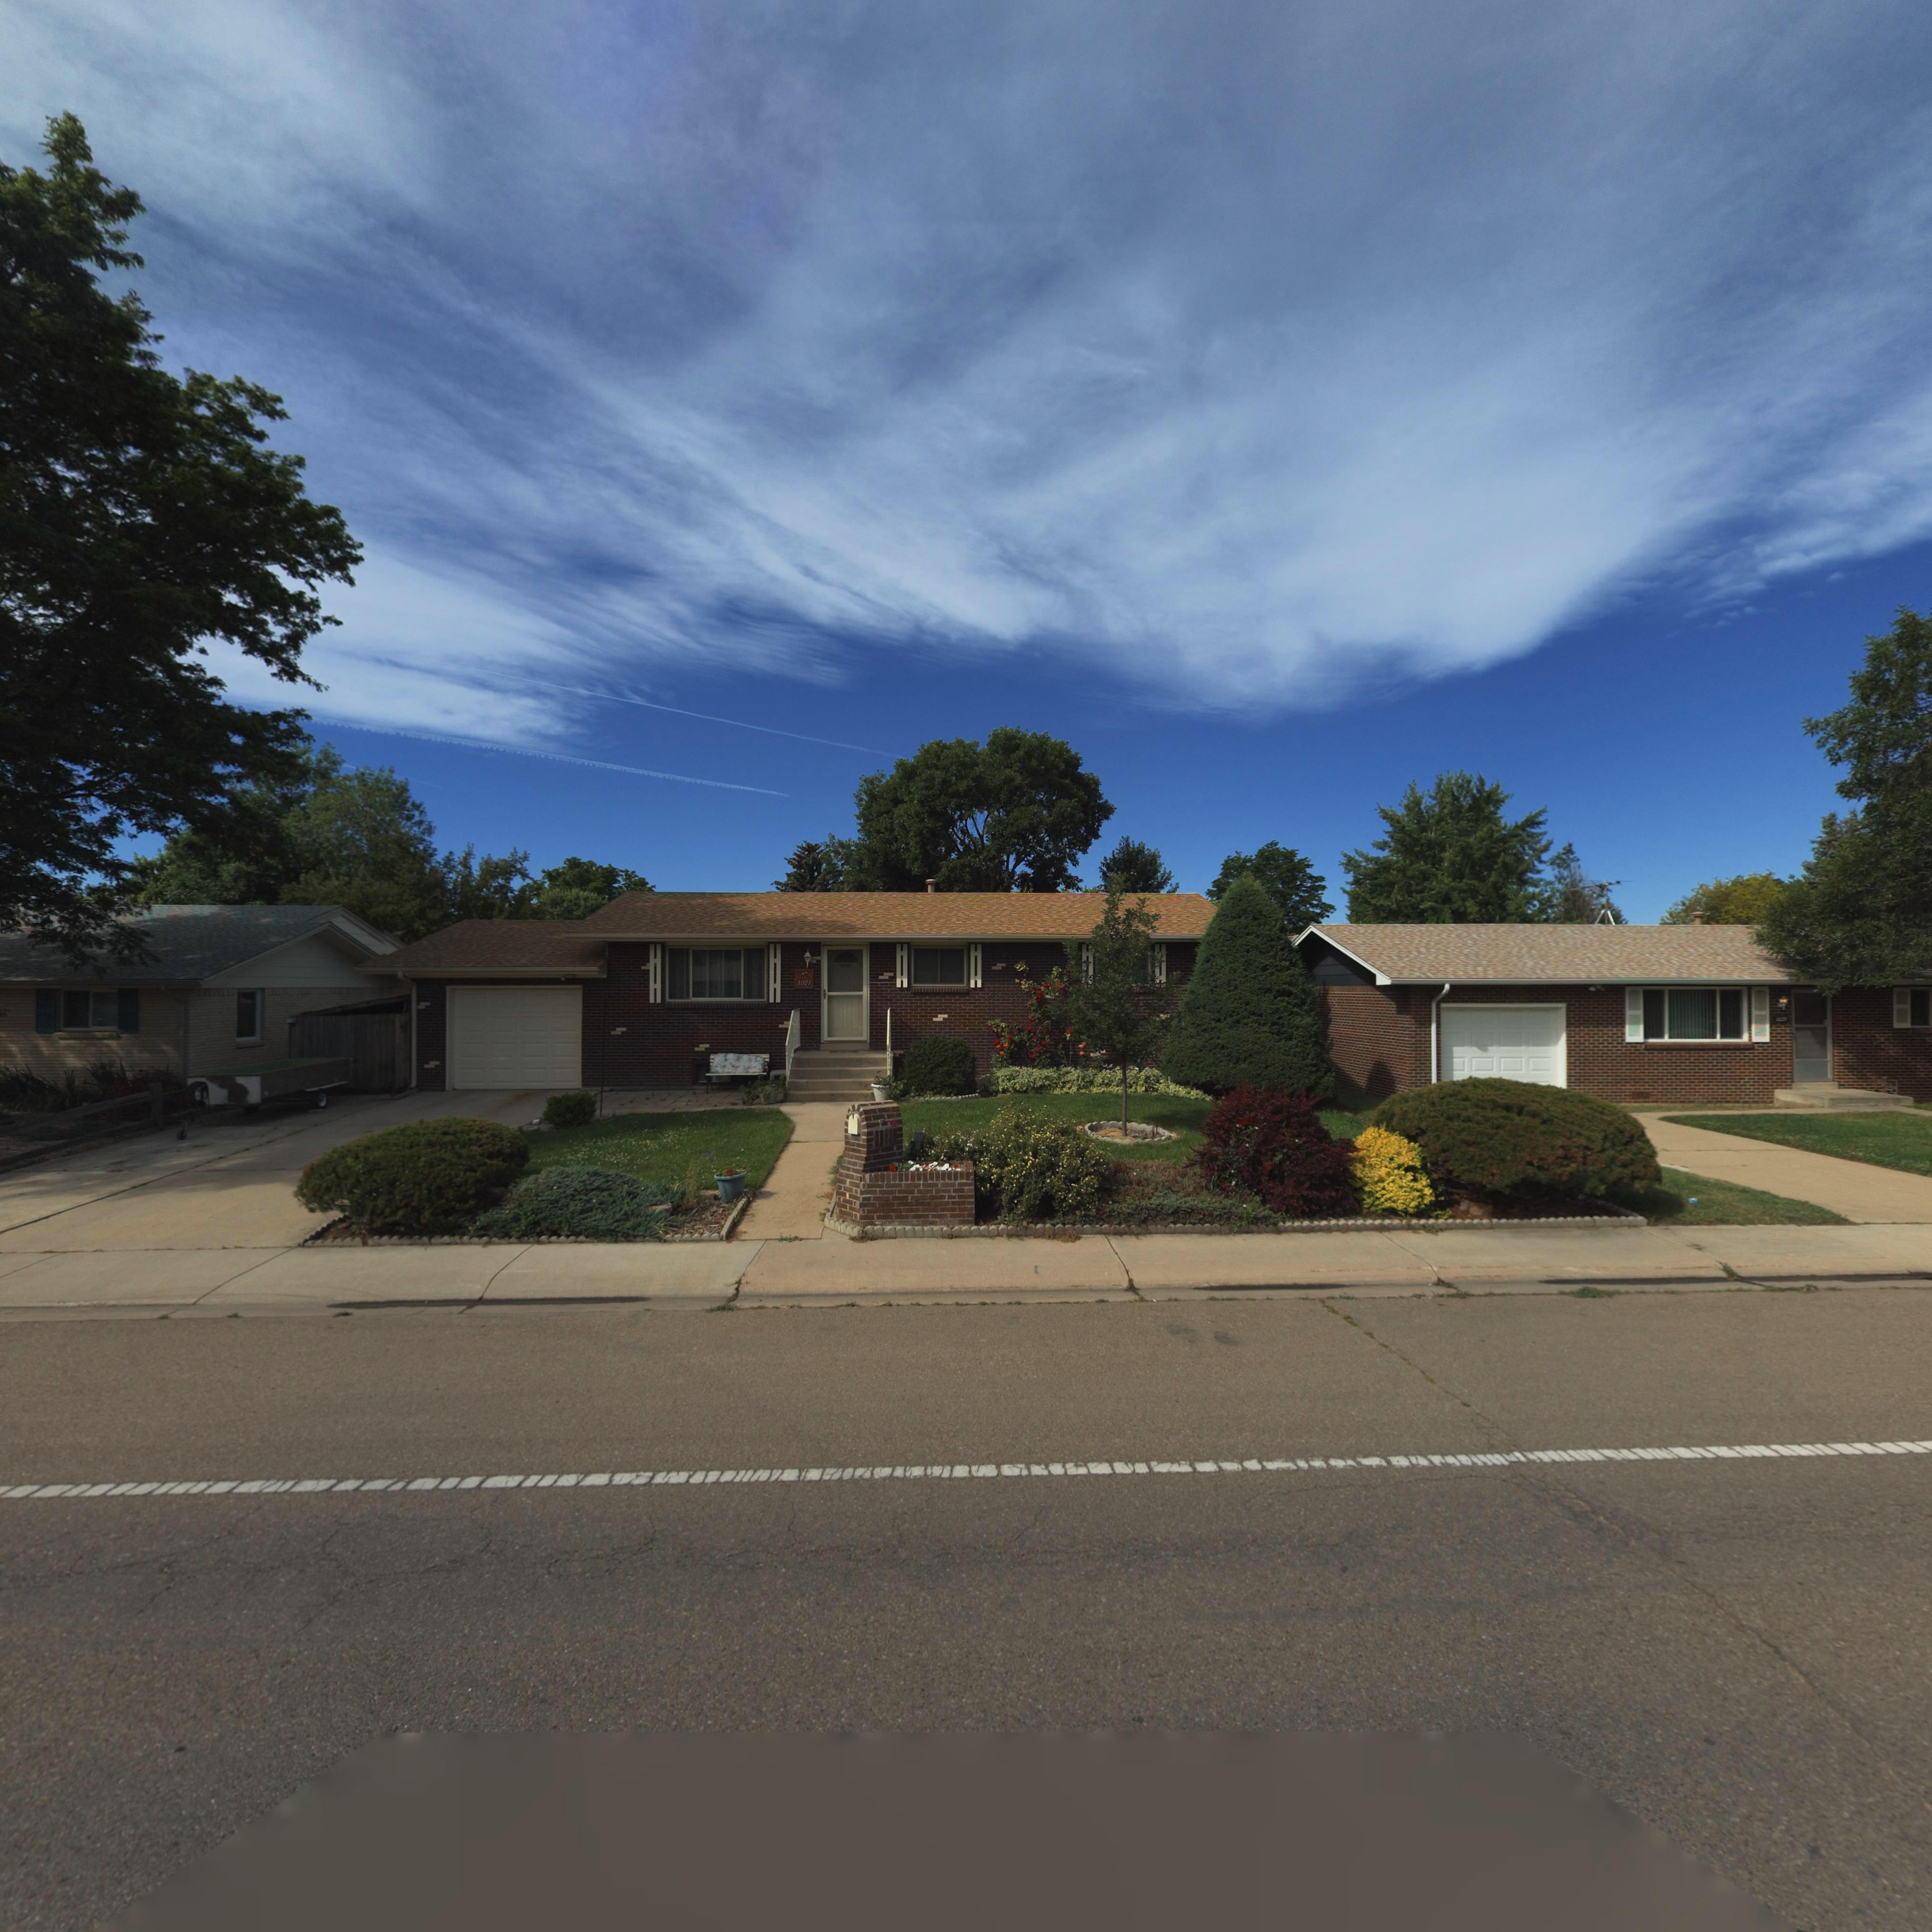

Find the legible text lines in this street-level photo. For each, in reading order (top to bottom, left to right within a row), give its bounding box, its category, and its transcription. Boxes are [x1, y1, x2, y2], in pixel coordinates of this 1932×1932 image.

[797, 979, 811, 985] StreetNumber: 1021
[1775, 1016, 1787, 1022] StreetNumber: 10**